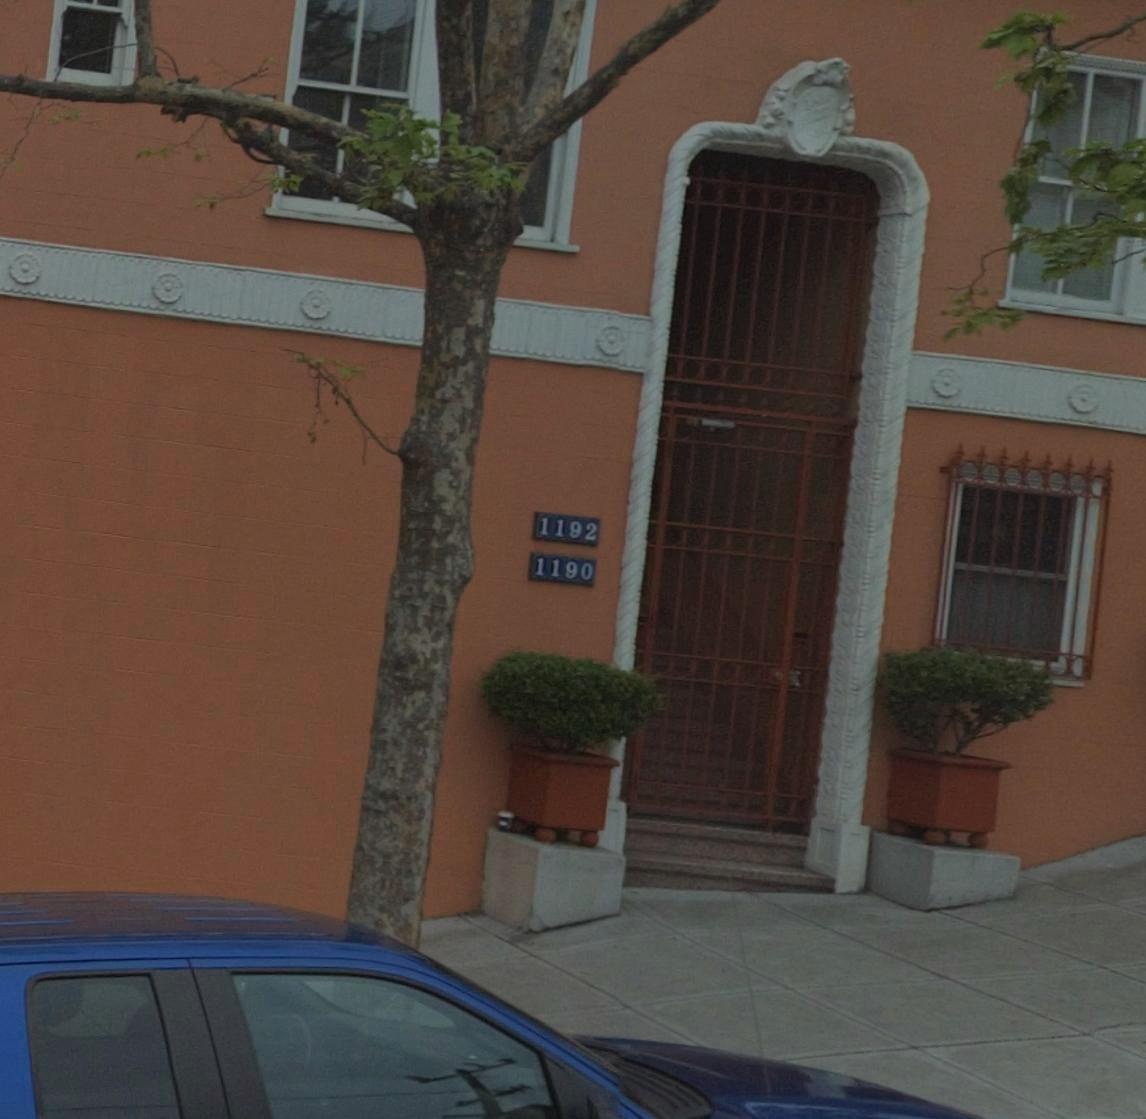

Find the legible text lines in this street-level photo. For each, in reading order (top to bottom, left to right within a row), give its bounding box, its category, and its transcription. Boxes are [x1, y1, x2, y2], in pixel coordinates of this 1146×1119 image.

[538, 514, 600, 543] StreetNumber: 1192
[533, 553, 595, 582] StreetNumber: 1190